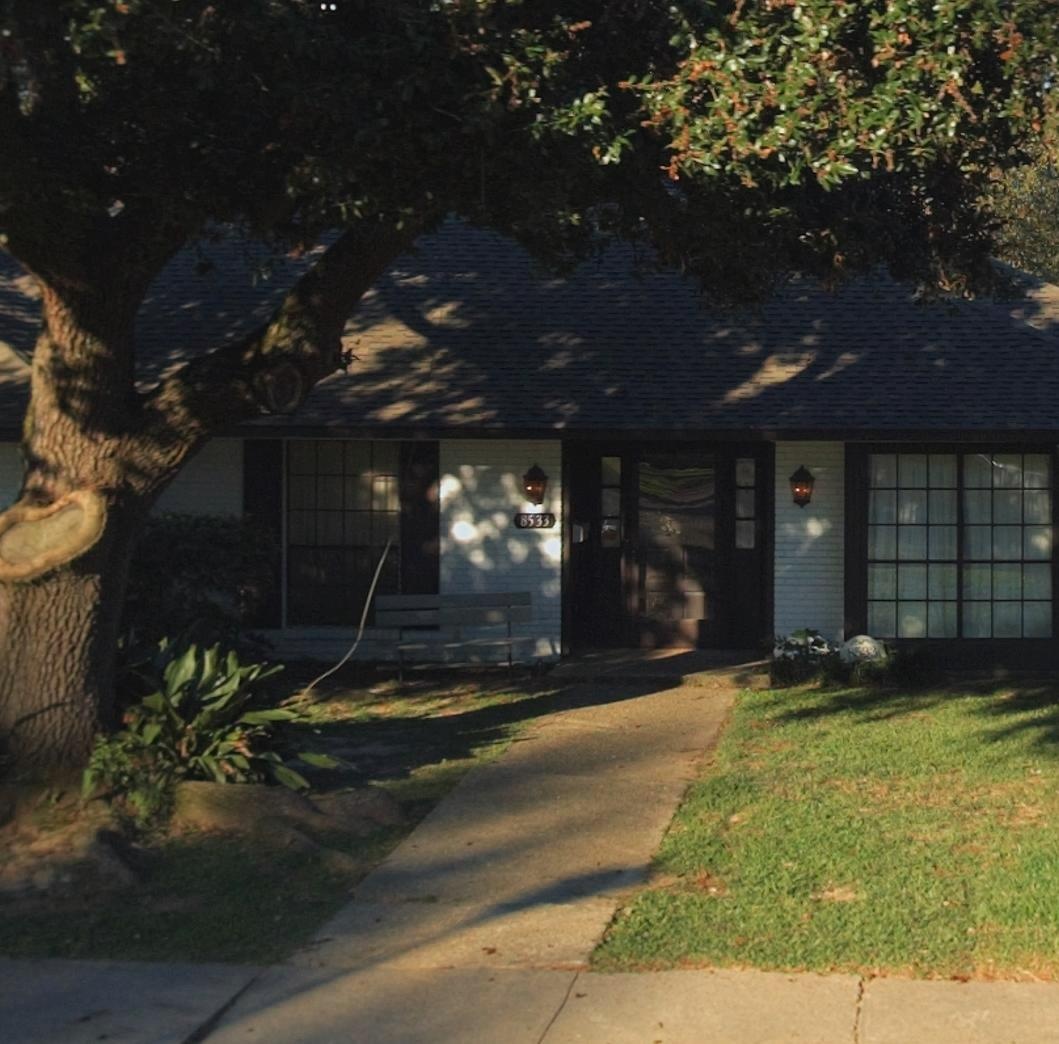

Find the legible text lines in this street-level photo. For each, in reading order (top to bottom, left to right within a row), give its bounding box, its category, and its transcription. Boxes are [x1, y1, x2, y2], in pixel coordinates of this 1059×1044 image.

[518, 514, 551, 528] StreetNumber: 8533